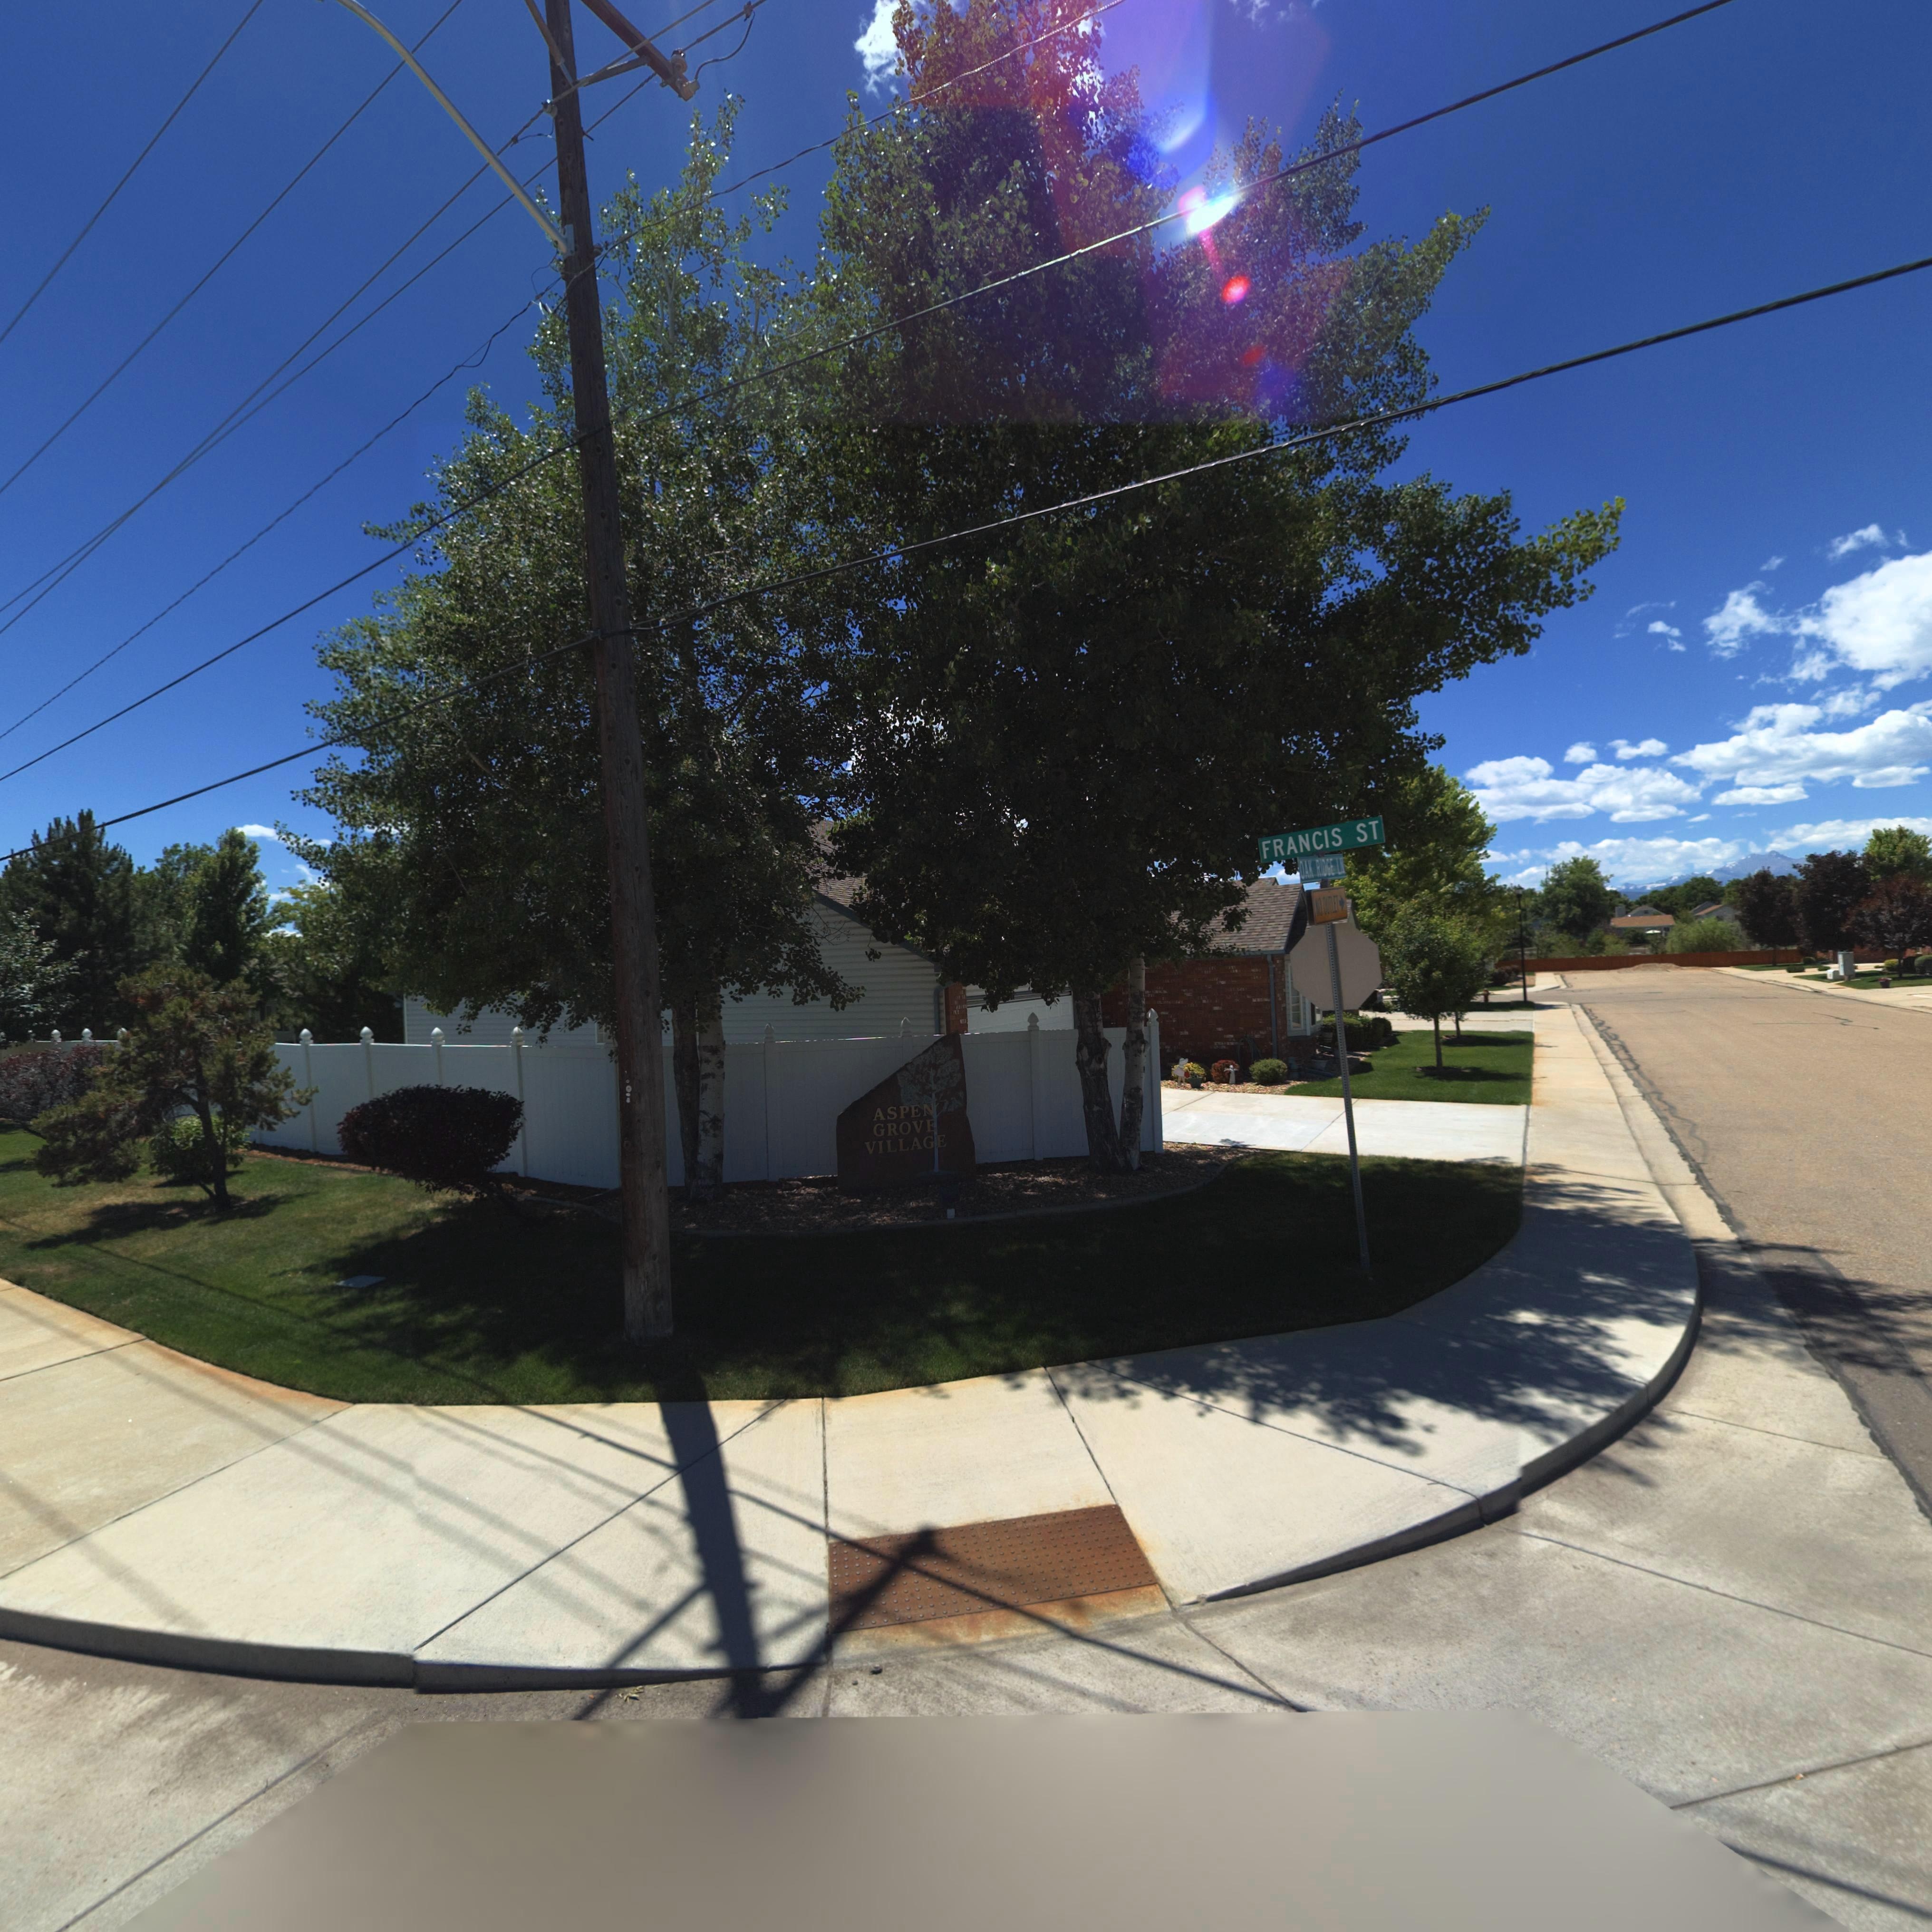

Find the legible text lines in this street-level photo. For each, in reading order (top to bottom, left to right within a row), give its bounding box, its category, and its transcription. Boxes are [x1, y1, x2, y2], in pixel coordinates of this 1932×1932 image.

[1261, 820, 1379, 860] StreetName: FRANCIS ST
[1298, 857, 1345, 880] StreetName: OAK RIDGE LN